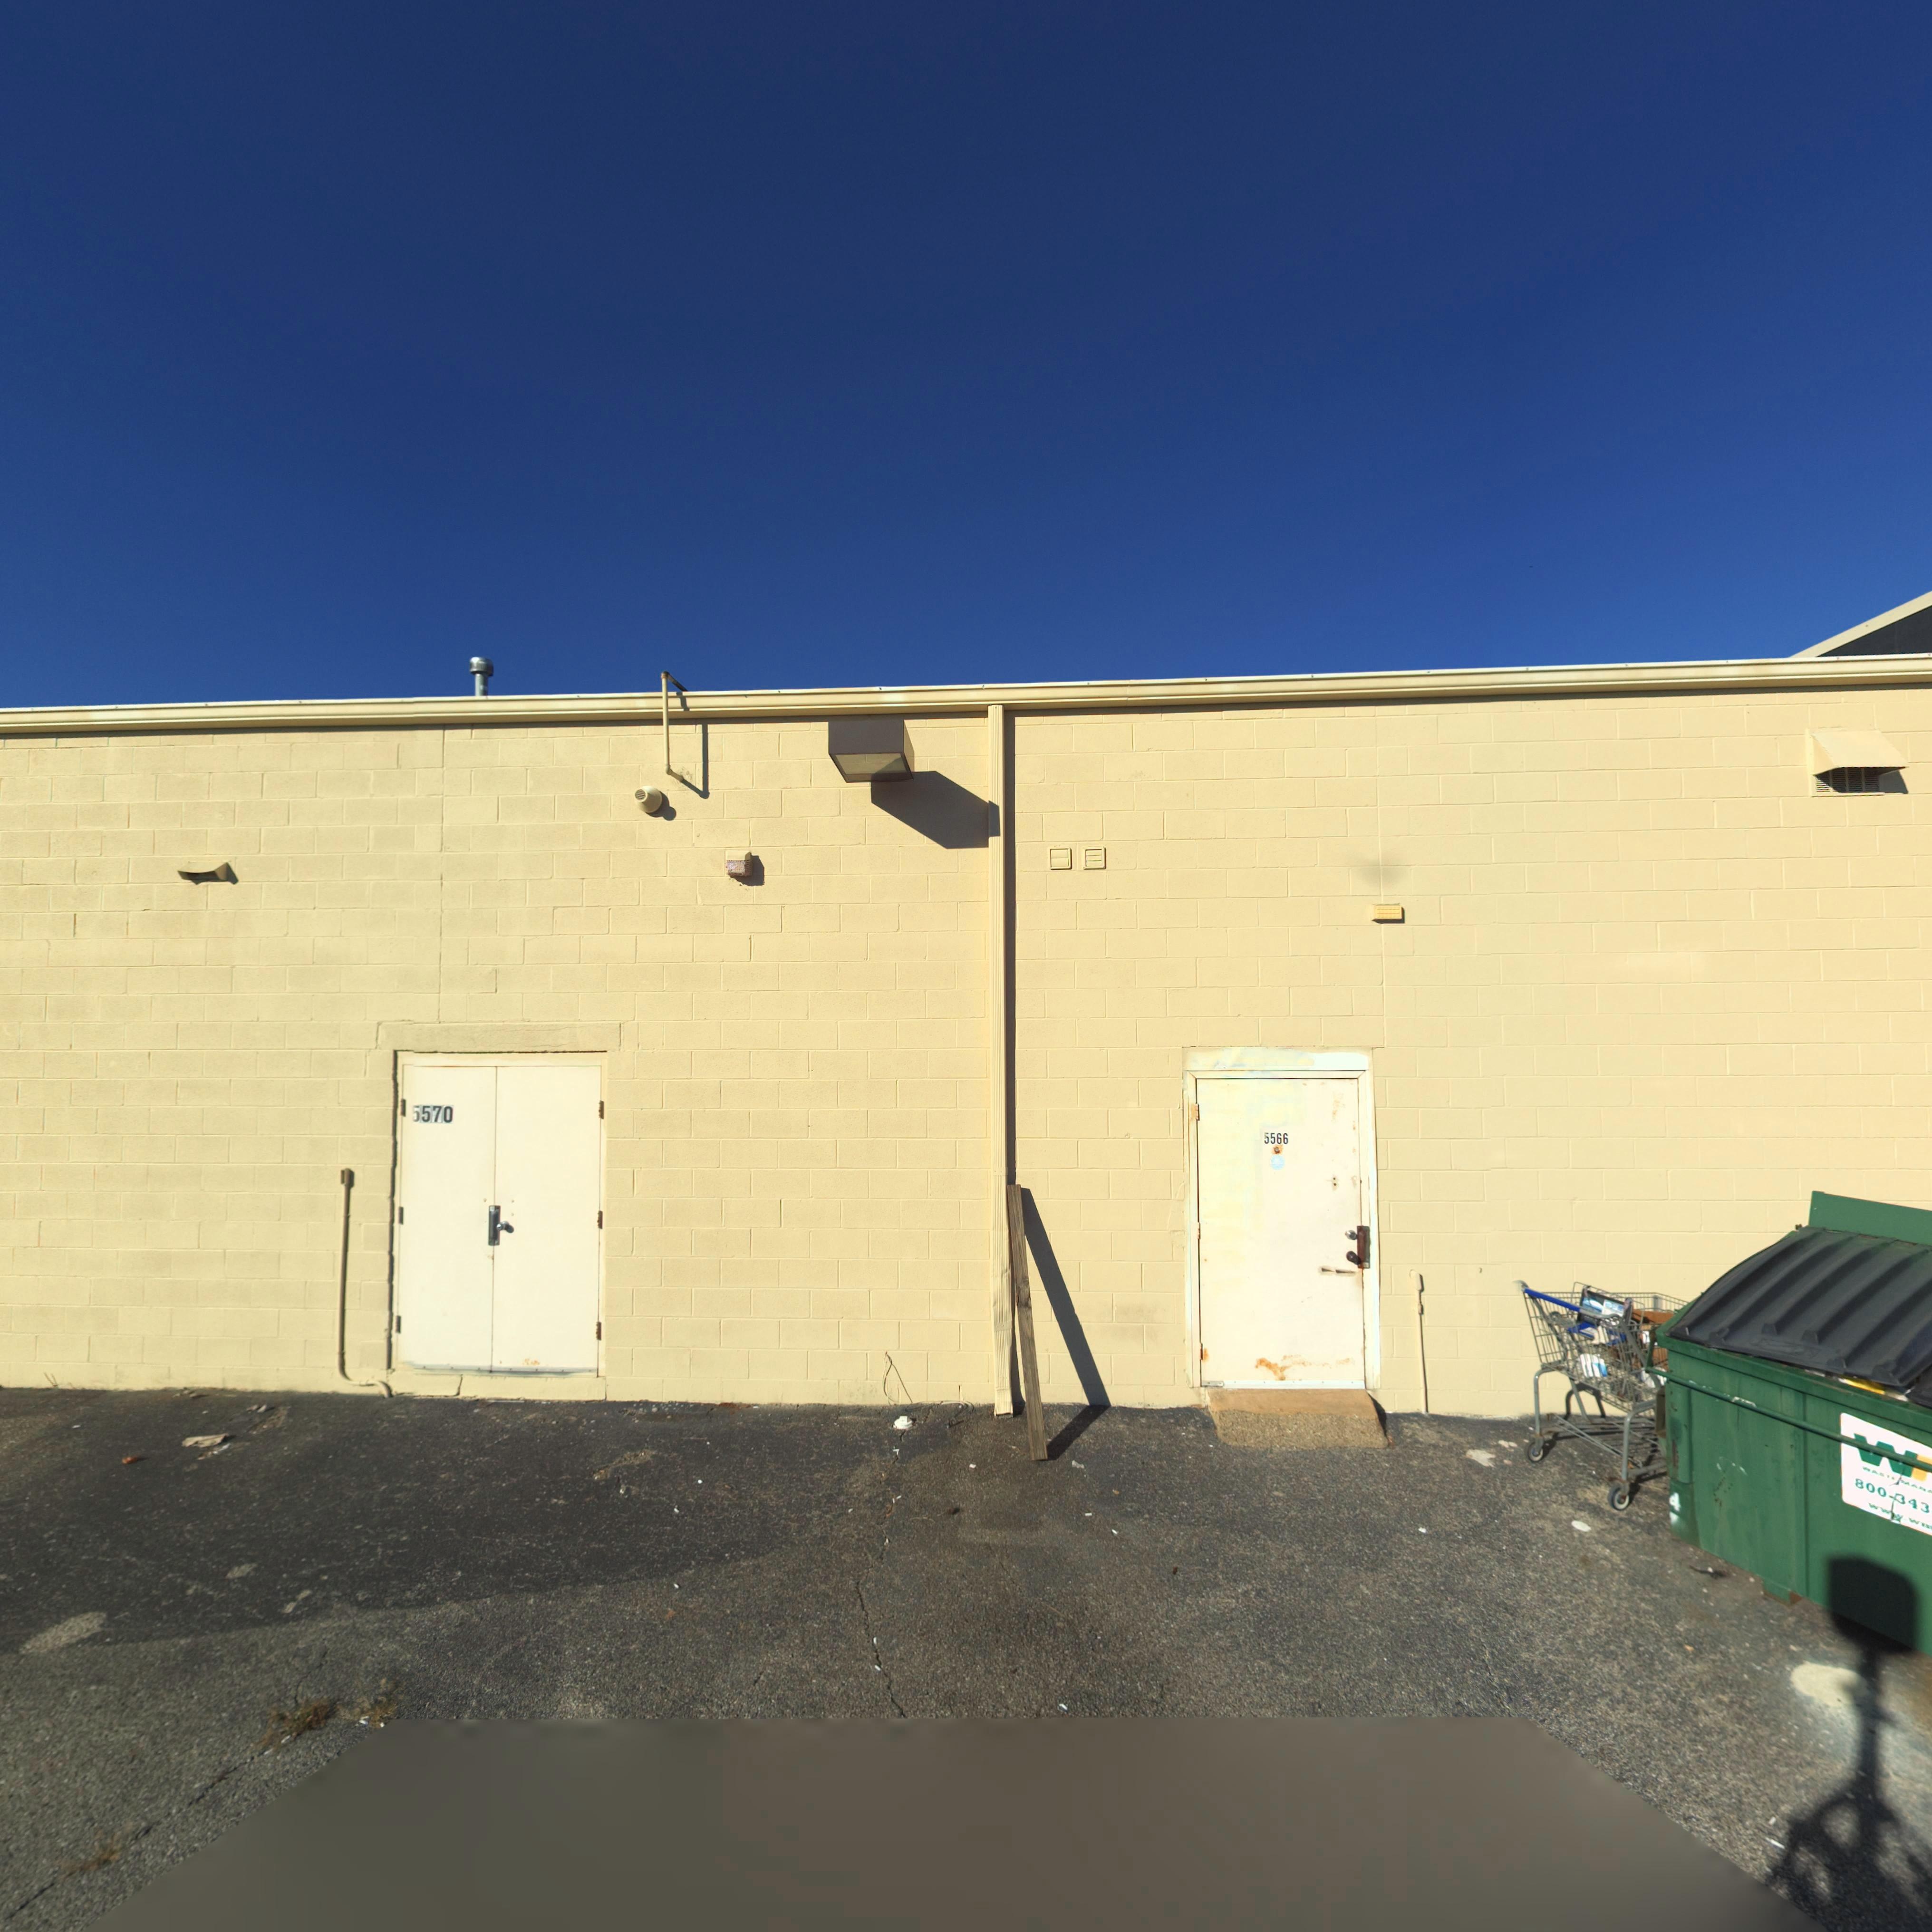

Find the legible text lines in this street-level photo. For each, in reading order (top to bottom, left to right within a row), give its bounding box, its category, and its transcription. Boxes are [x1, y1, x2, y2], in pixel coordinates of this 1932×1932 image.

[421, 1105, 454, 1123] StreetNumber: 570
[1263, 1131, 1289, 1145] StreetNumber: 5566